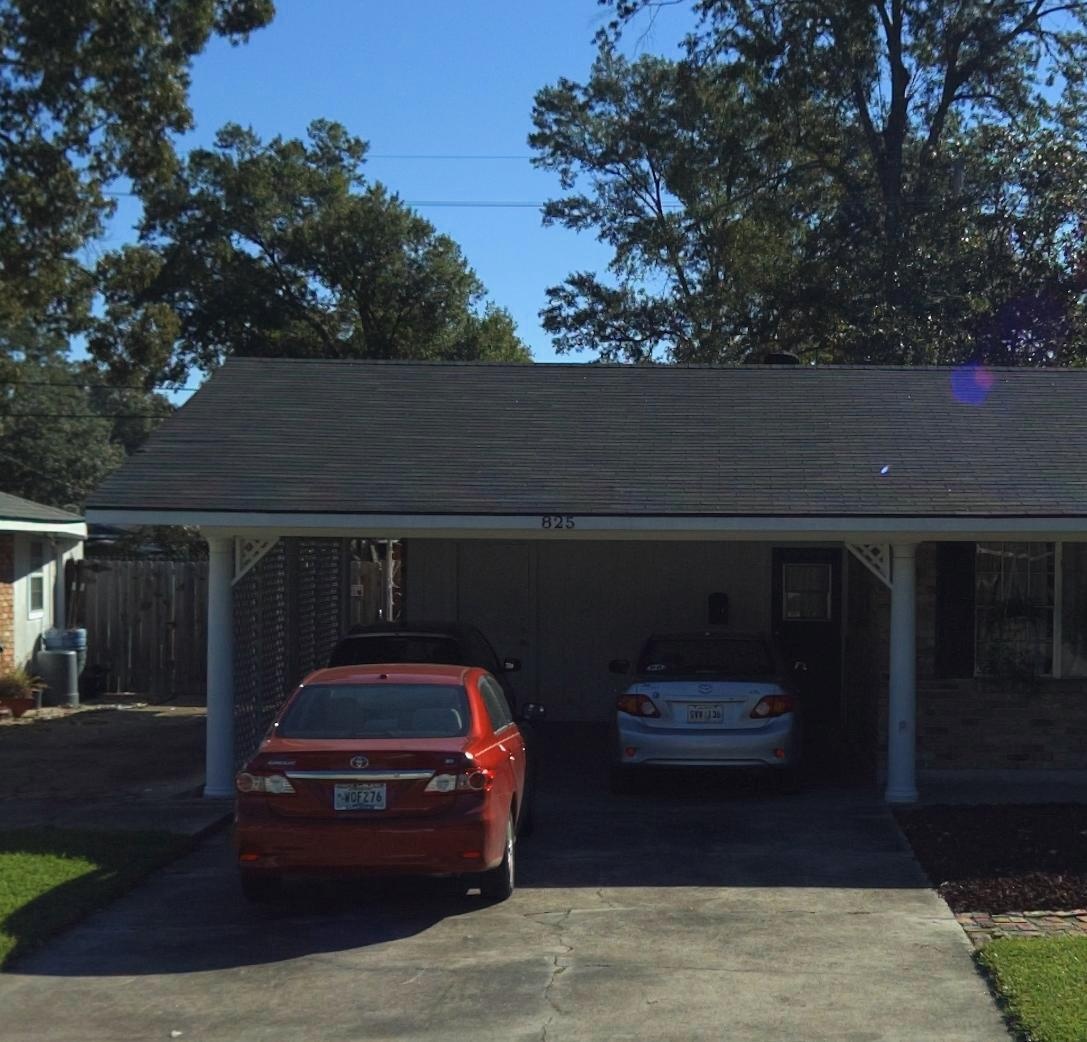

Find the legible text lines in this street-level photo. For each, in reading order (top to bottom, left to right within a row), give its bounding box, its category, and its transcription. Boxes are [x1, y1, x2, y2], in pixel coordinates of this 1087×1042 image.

[540, 514, 577, 531] StreetNumber: 825
[688, 707, 723, 721] None: S***136
[342, 788, 385, 806] None: WOF276